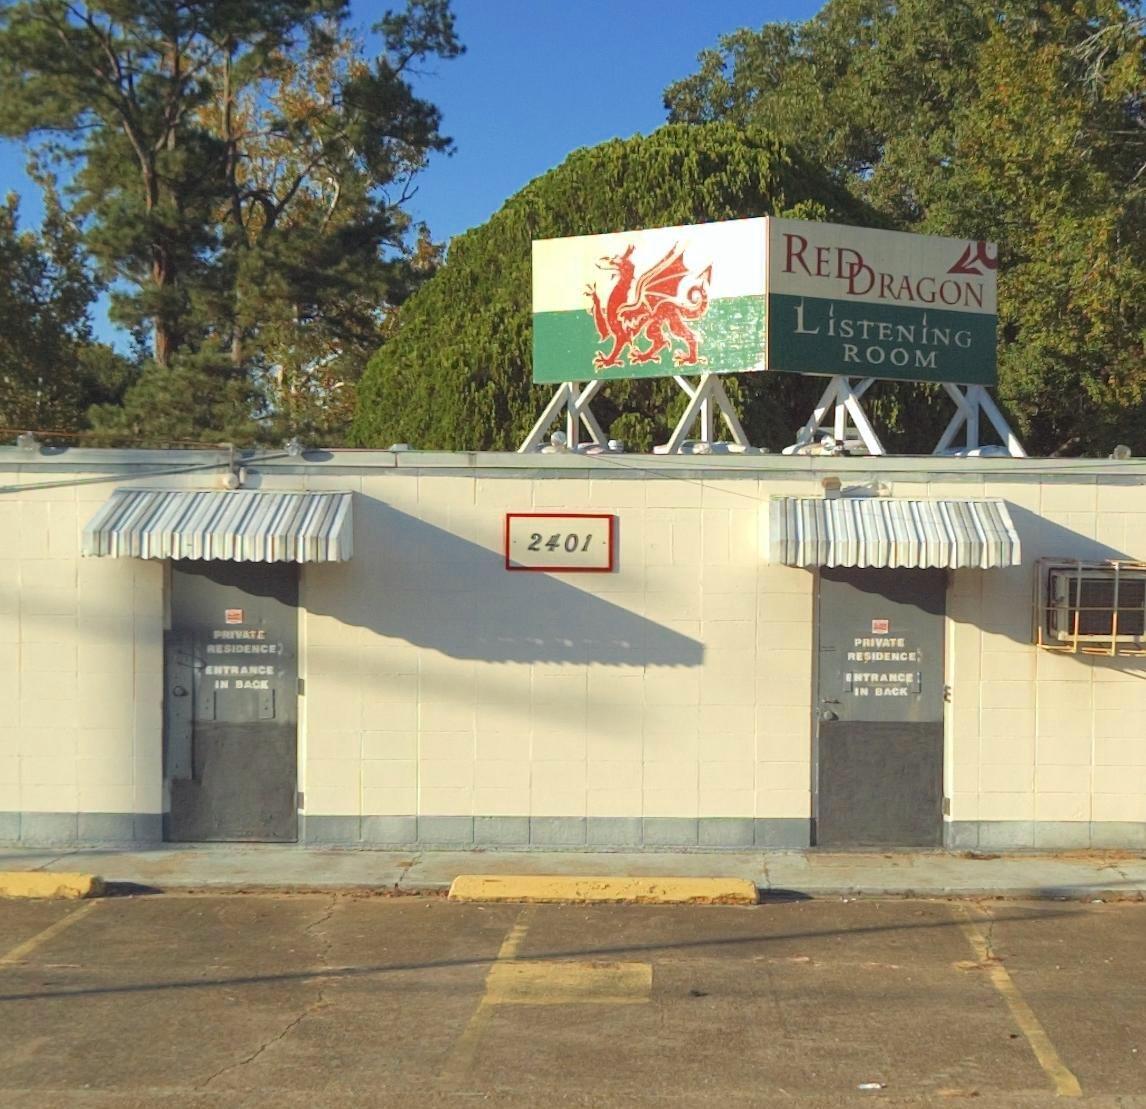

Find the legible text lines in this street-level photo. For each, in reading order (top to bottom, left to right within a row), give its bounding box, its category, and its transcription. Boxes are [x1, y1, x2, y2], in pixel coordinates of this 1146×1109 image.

[779, 231, 865, 283] BusinessName: RED
[844, 258, 987, 312] BusinessName: DRAGON
[789, 300, 974, 352] BusinessName: LISTENING
[838, 340, 940, 372] BusinessName: ROOM
[525, 530, 596, 554] StreetNumber: 2401
[210, 628, 268, 642] None: PRIVATE
[203, 641, 279, 656] None: RESIDENCE
[852, 635, 907, 650] None: PRIVATE
[845, 649, 918, 665] None: RESIDENCE
[201, 662, 276, 677] None: ENTRANCE
[212, 677, 271, 692] None: IN BACK
[843, 670, 915, 684] None: ENTRANCE
[851, 684, 910, 698] None: IN BACK